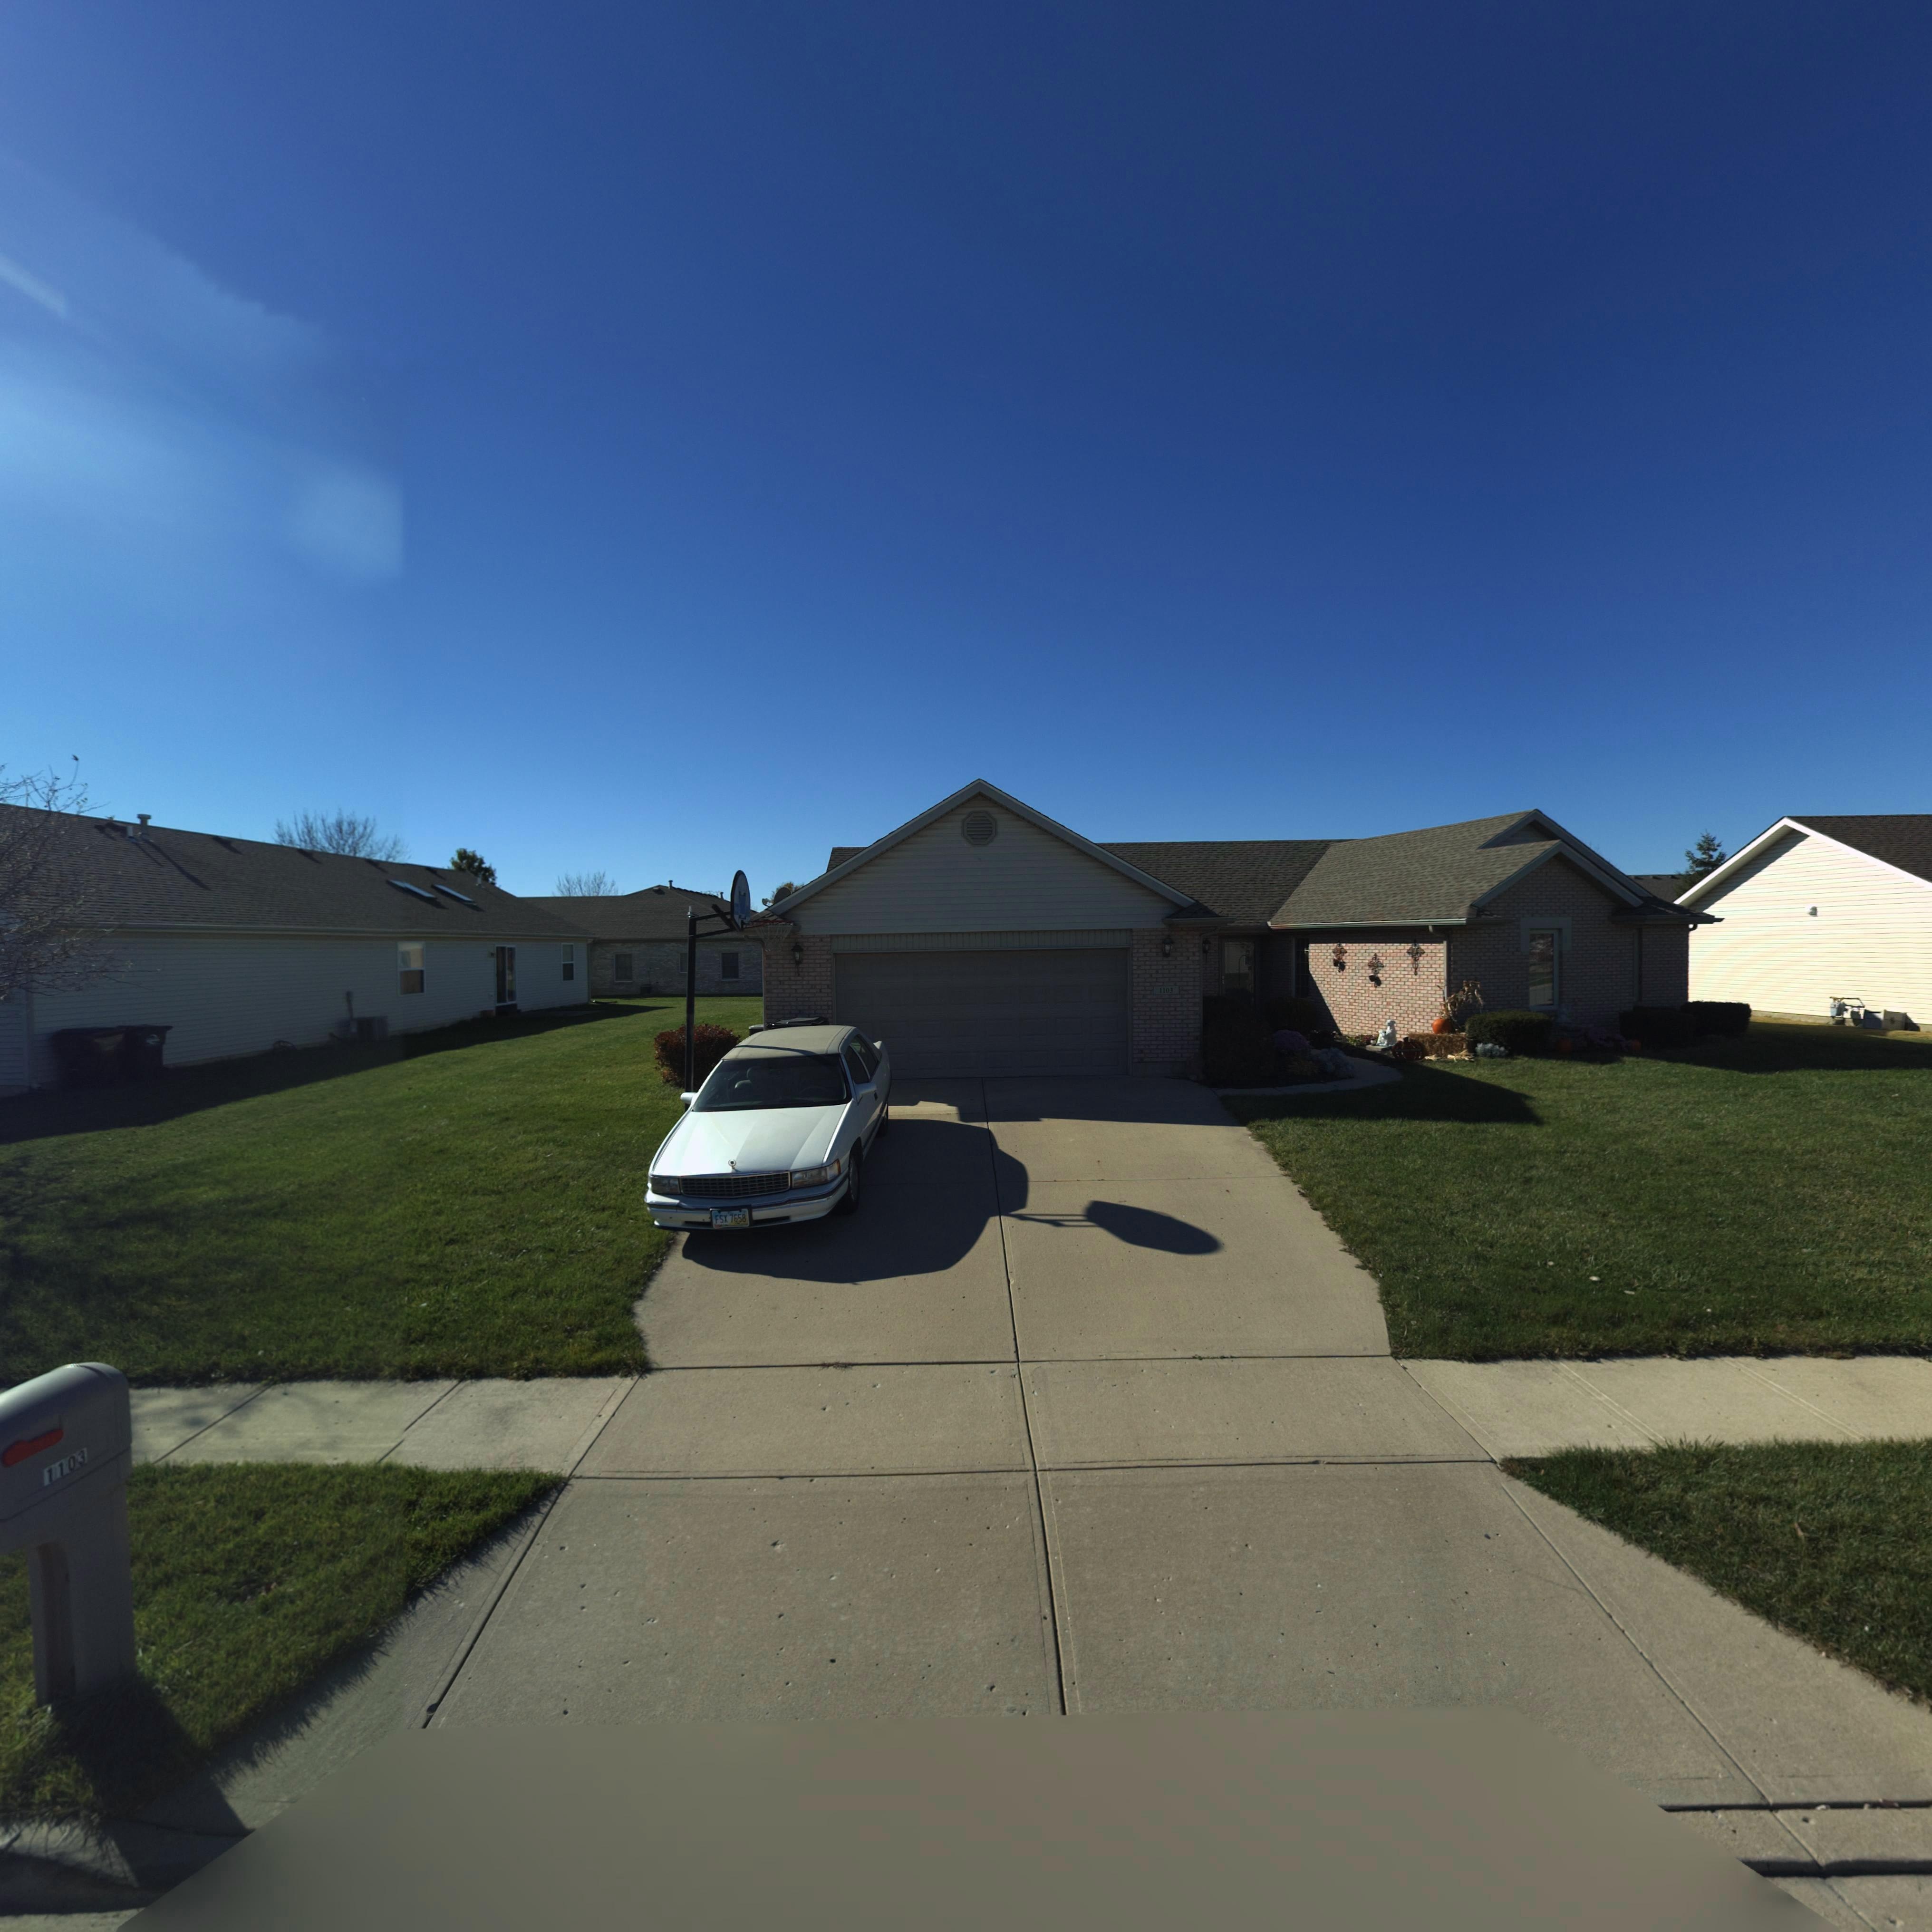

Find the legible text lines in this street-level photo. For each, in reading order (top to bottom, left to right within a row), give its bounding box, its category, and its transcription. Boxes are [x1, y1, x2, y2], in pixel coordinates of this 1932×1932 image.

[1159, 986, 1174, 994] StreetNumber: 1103
[44, 1448, 87, 1485] StreetNumber: 1103